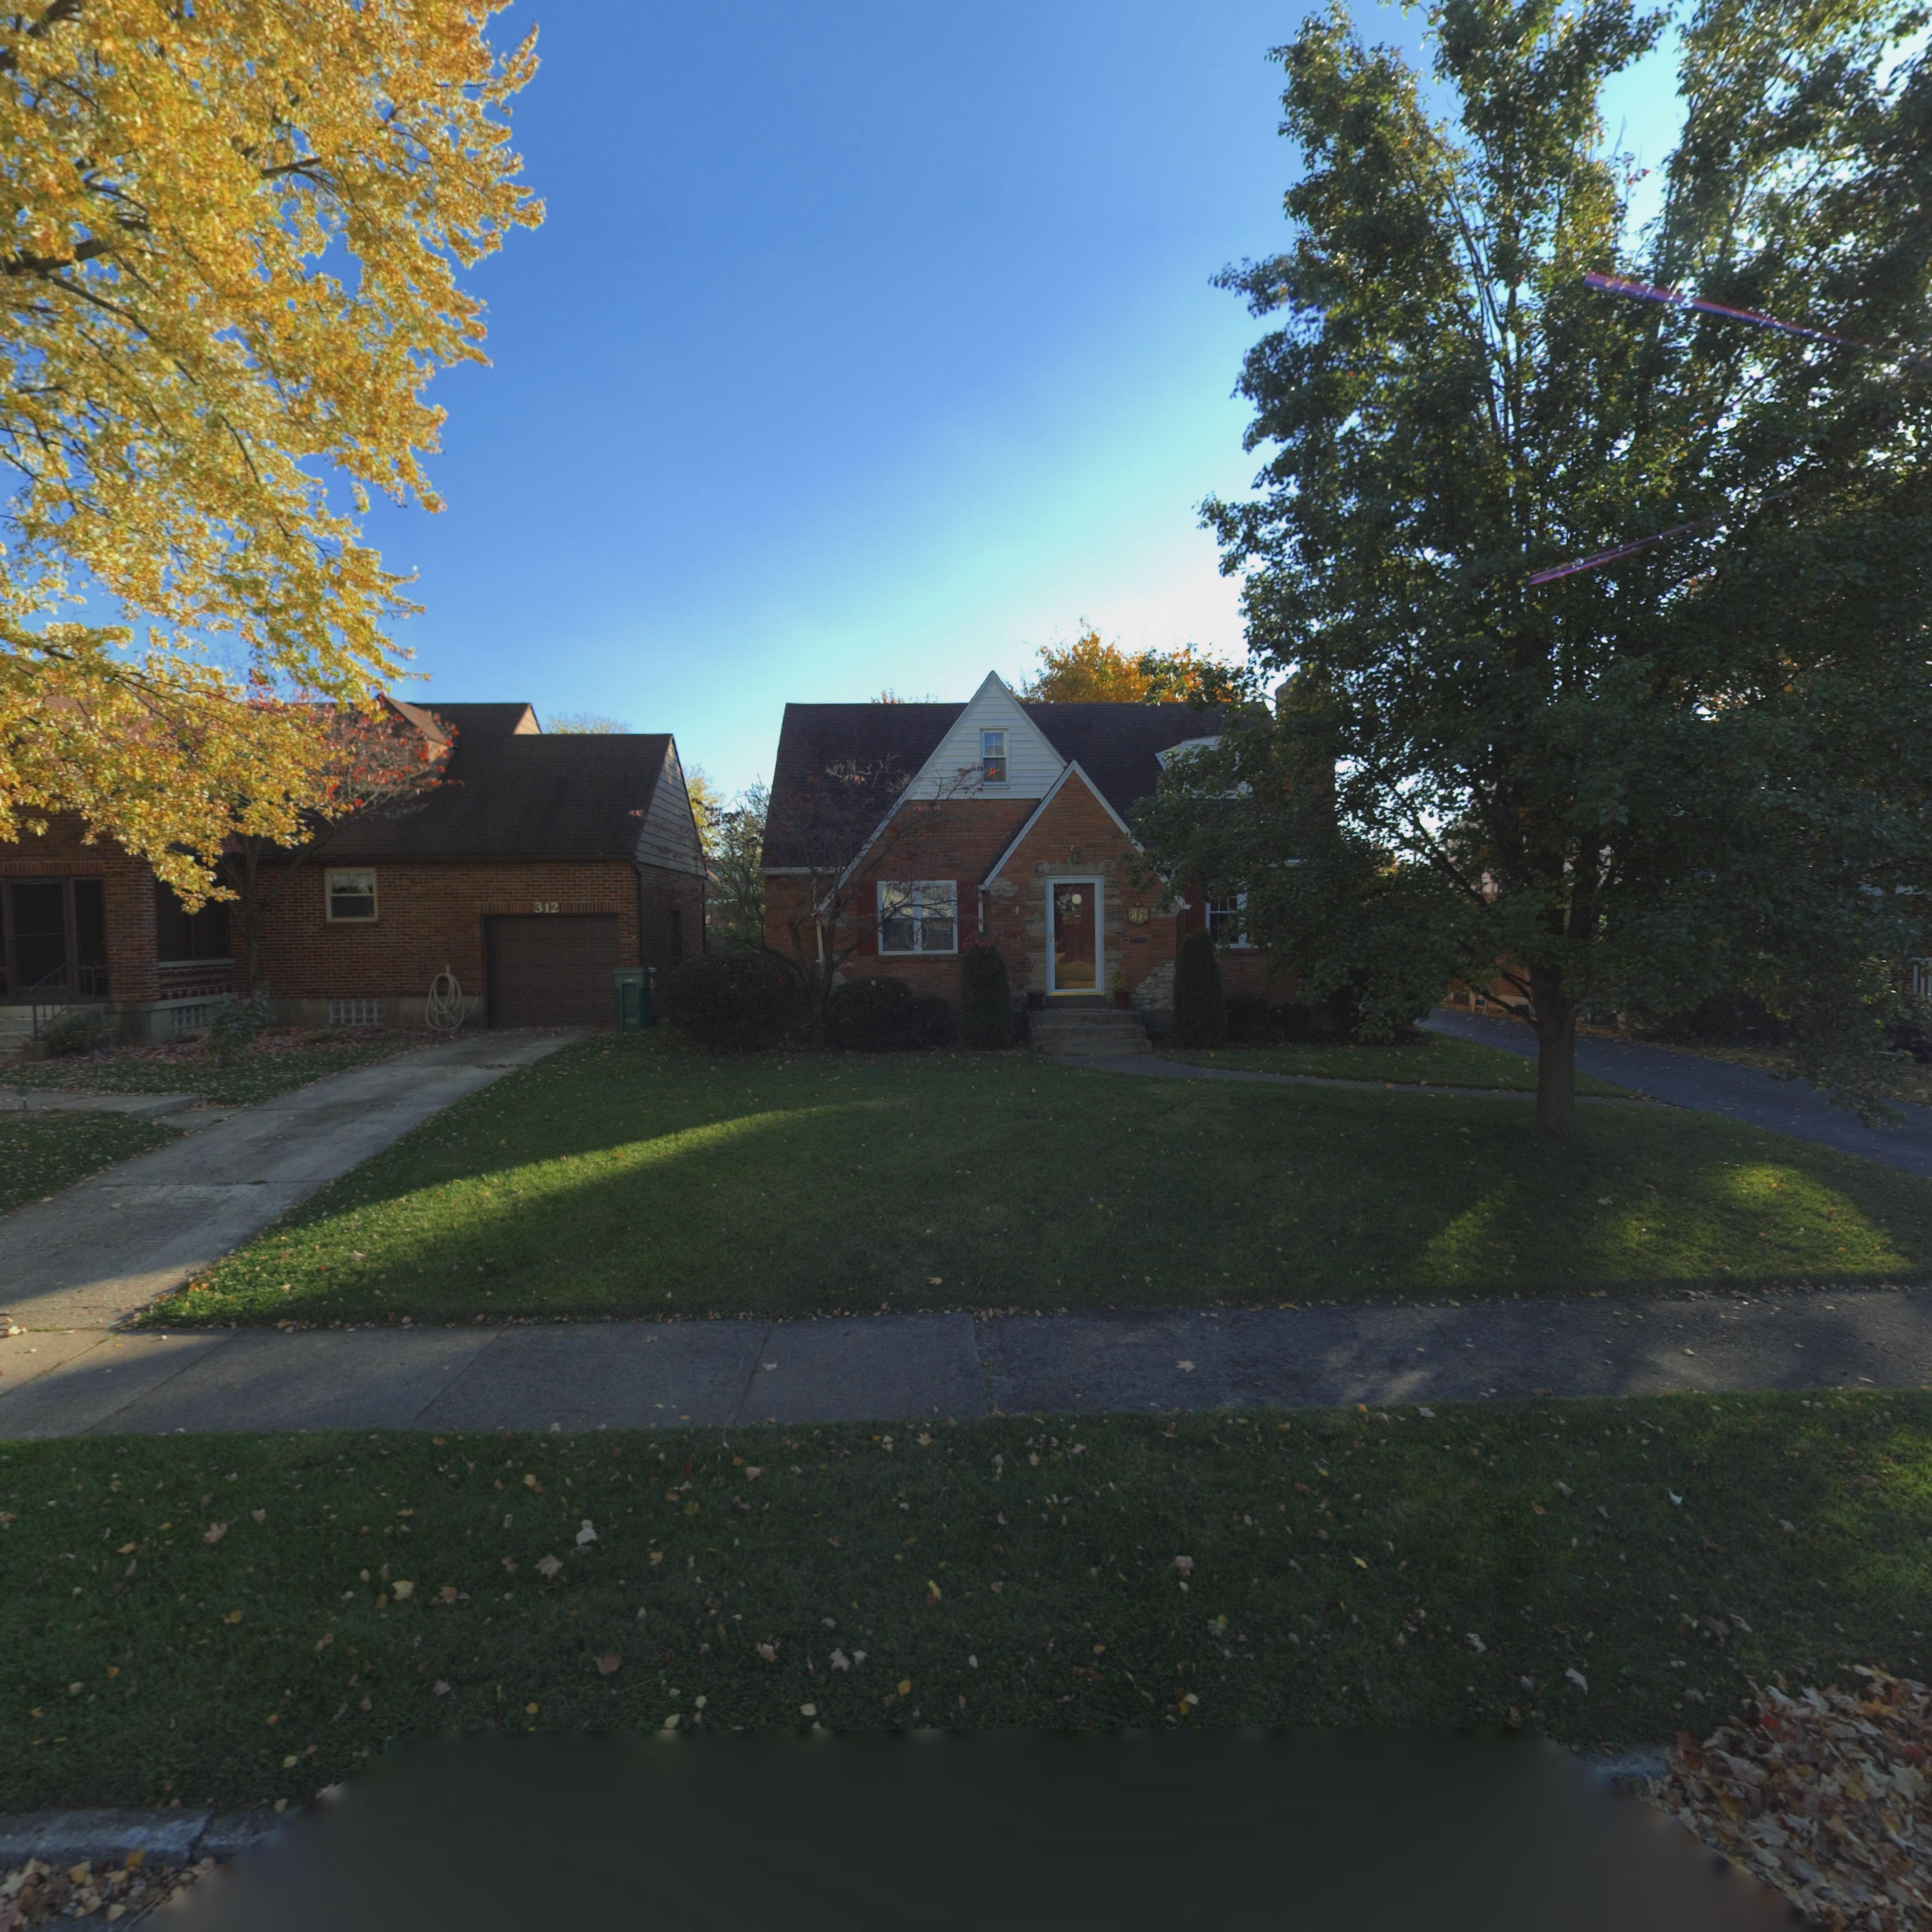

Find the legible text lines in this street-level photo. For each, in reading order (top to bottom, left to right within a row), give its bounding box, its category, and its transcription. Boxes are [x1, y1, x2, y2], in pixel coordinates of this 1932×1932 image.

[534, 901, 559, 914] StreetNumber: 312
[1129, 908, 1148, 923] StreetNumber: 308